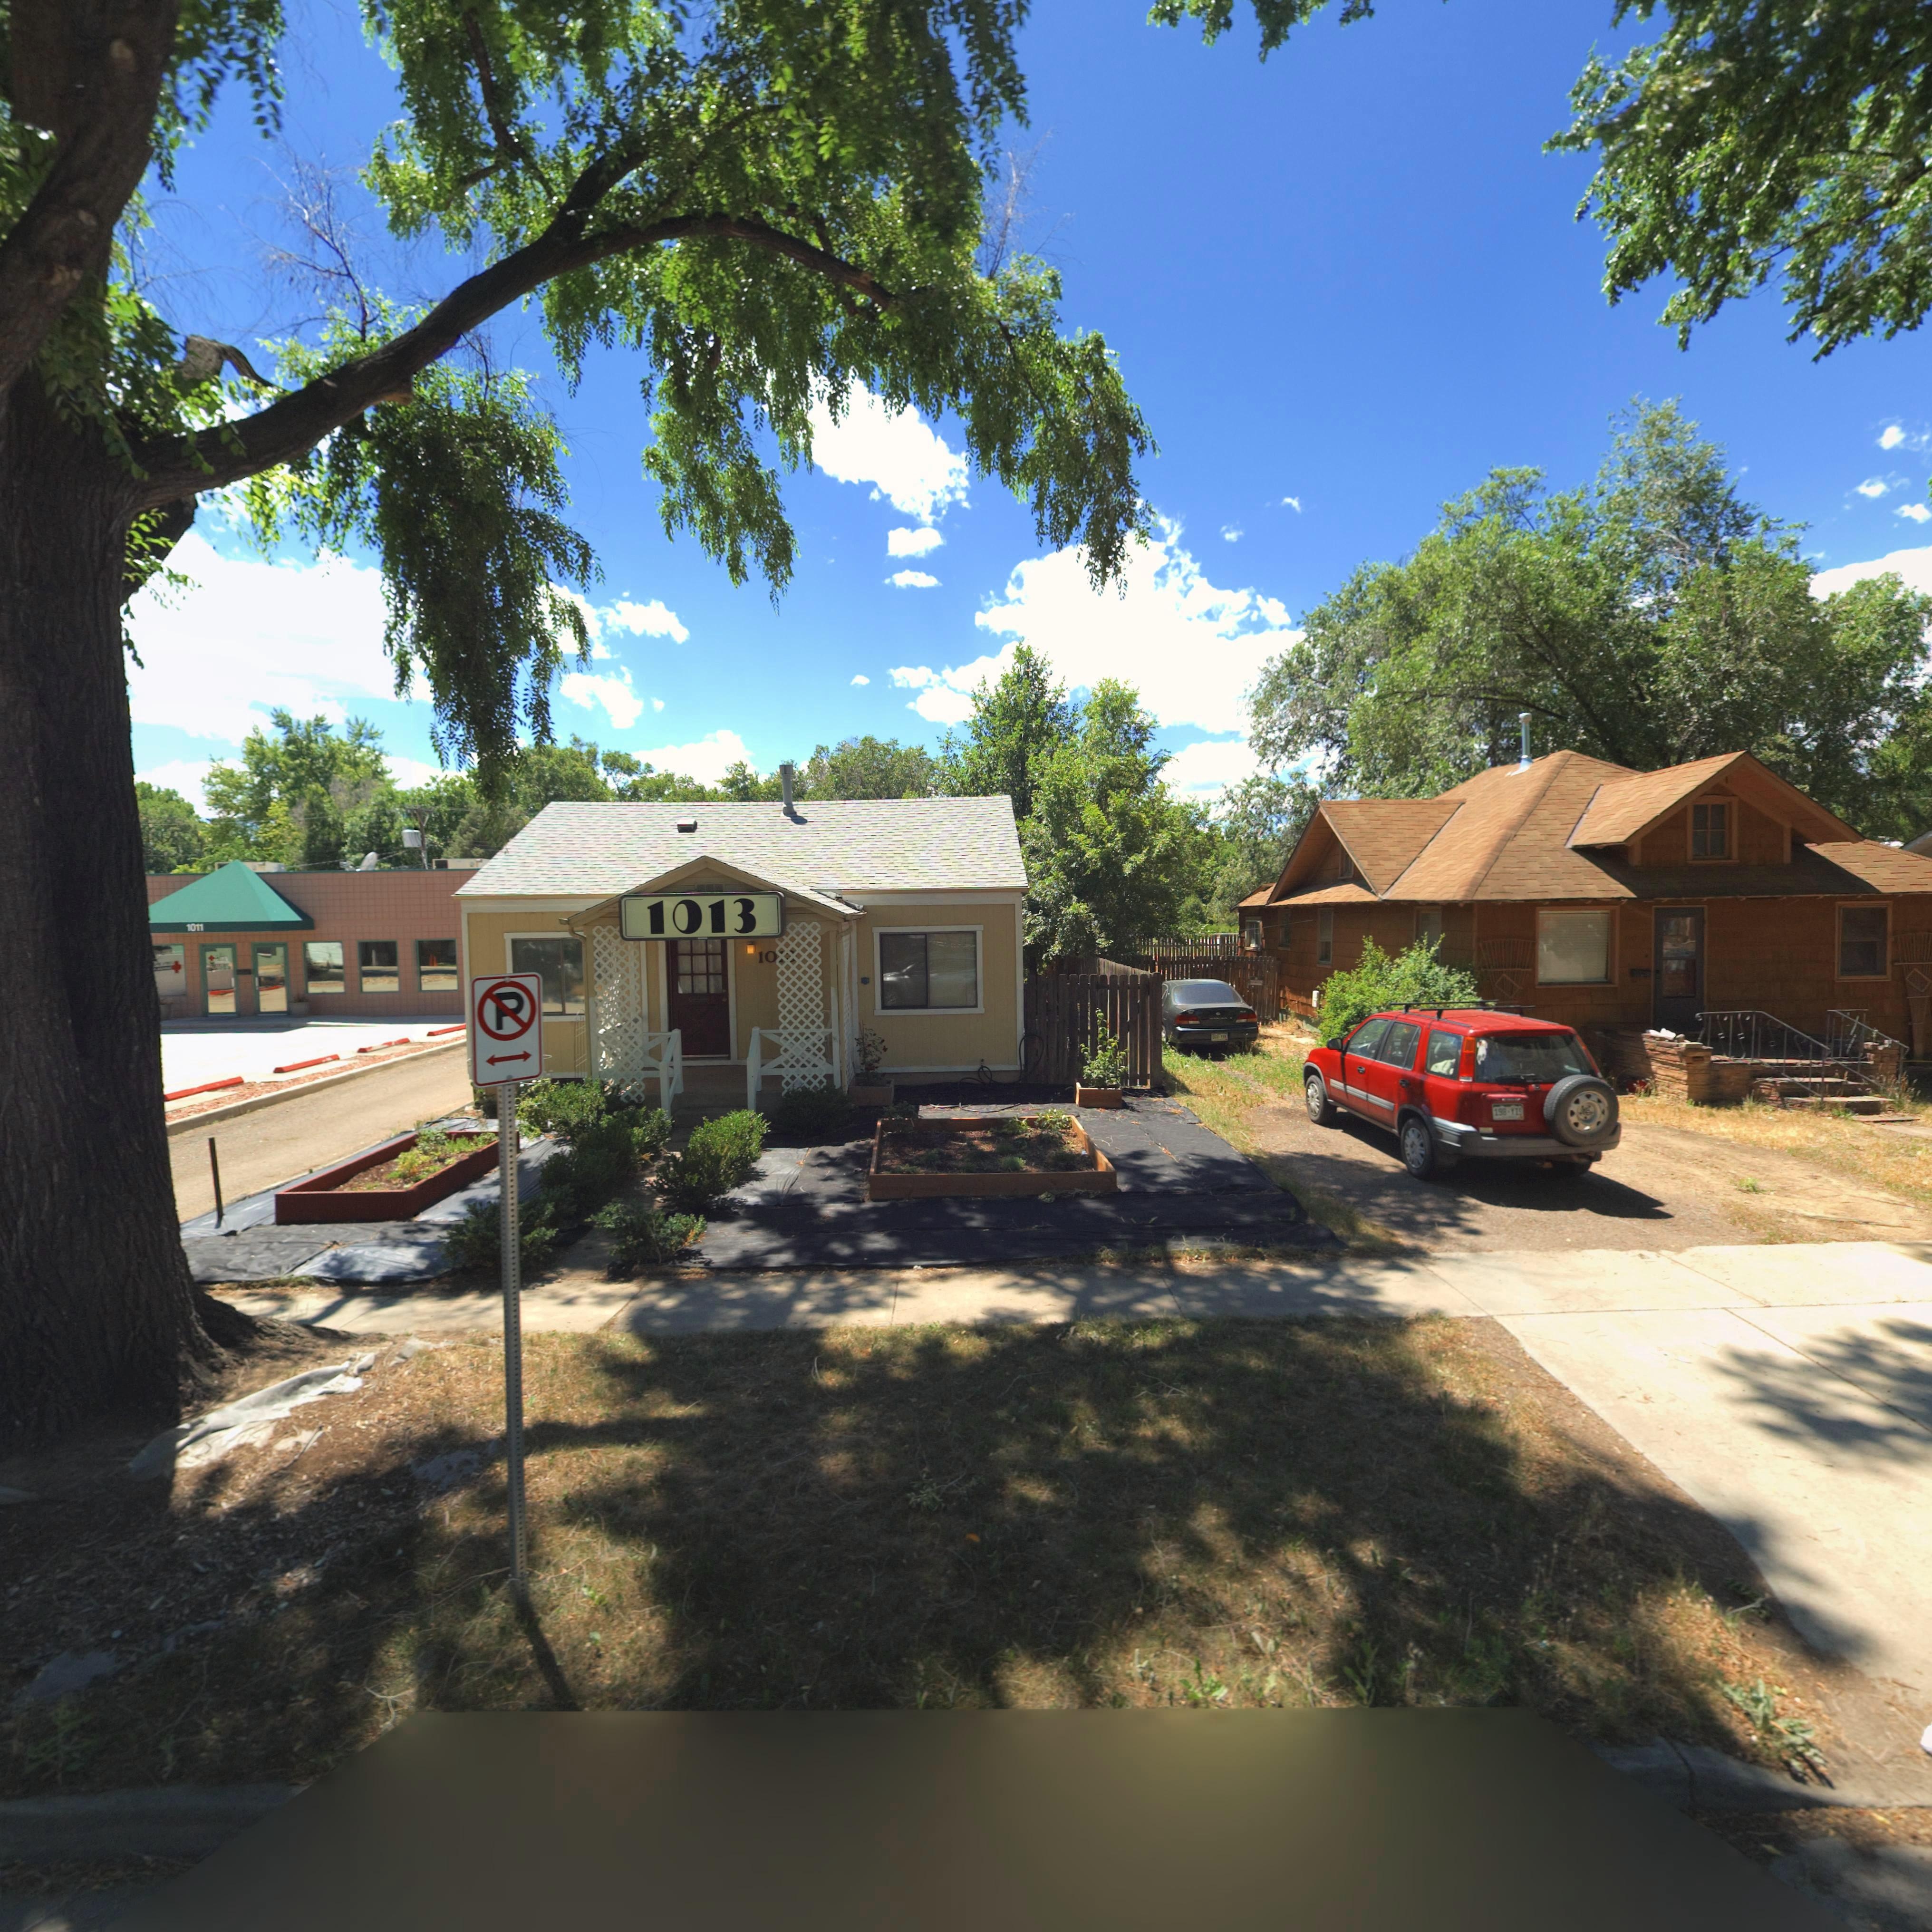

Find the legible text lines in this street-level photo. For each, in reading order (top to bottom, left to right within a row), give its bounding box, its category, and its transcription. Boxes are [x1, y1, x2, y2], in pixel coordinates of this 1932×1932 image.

[645, 896, 757, 936] StreetNumber: 1013
[185, 923, 204, 932] StreetNumber: 1011
[758, 950, 799, 964] StreetNumber: 10**